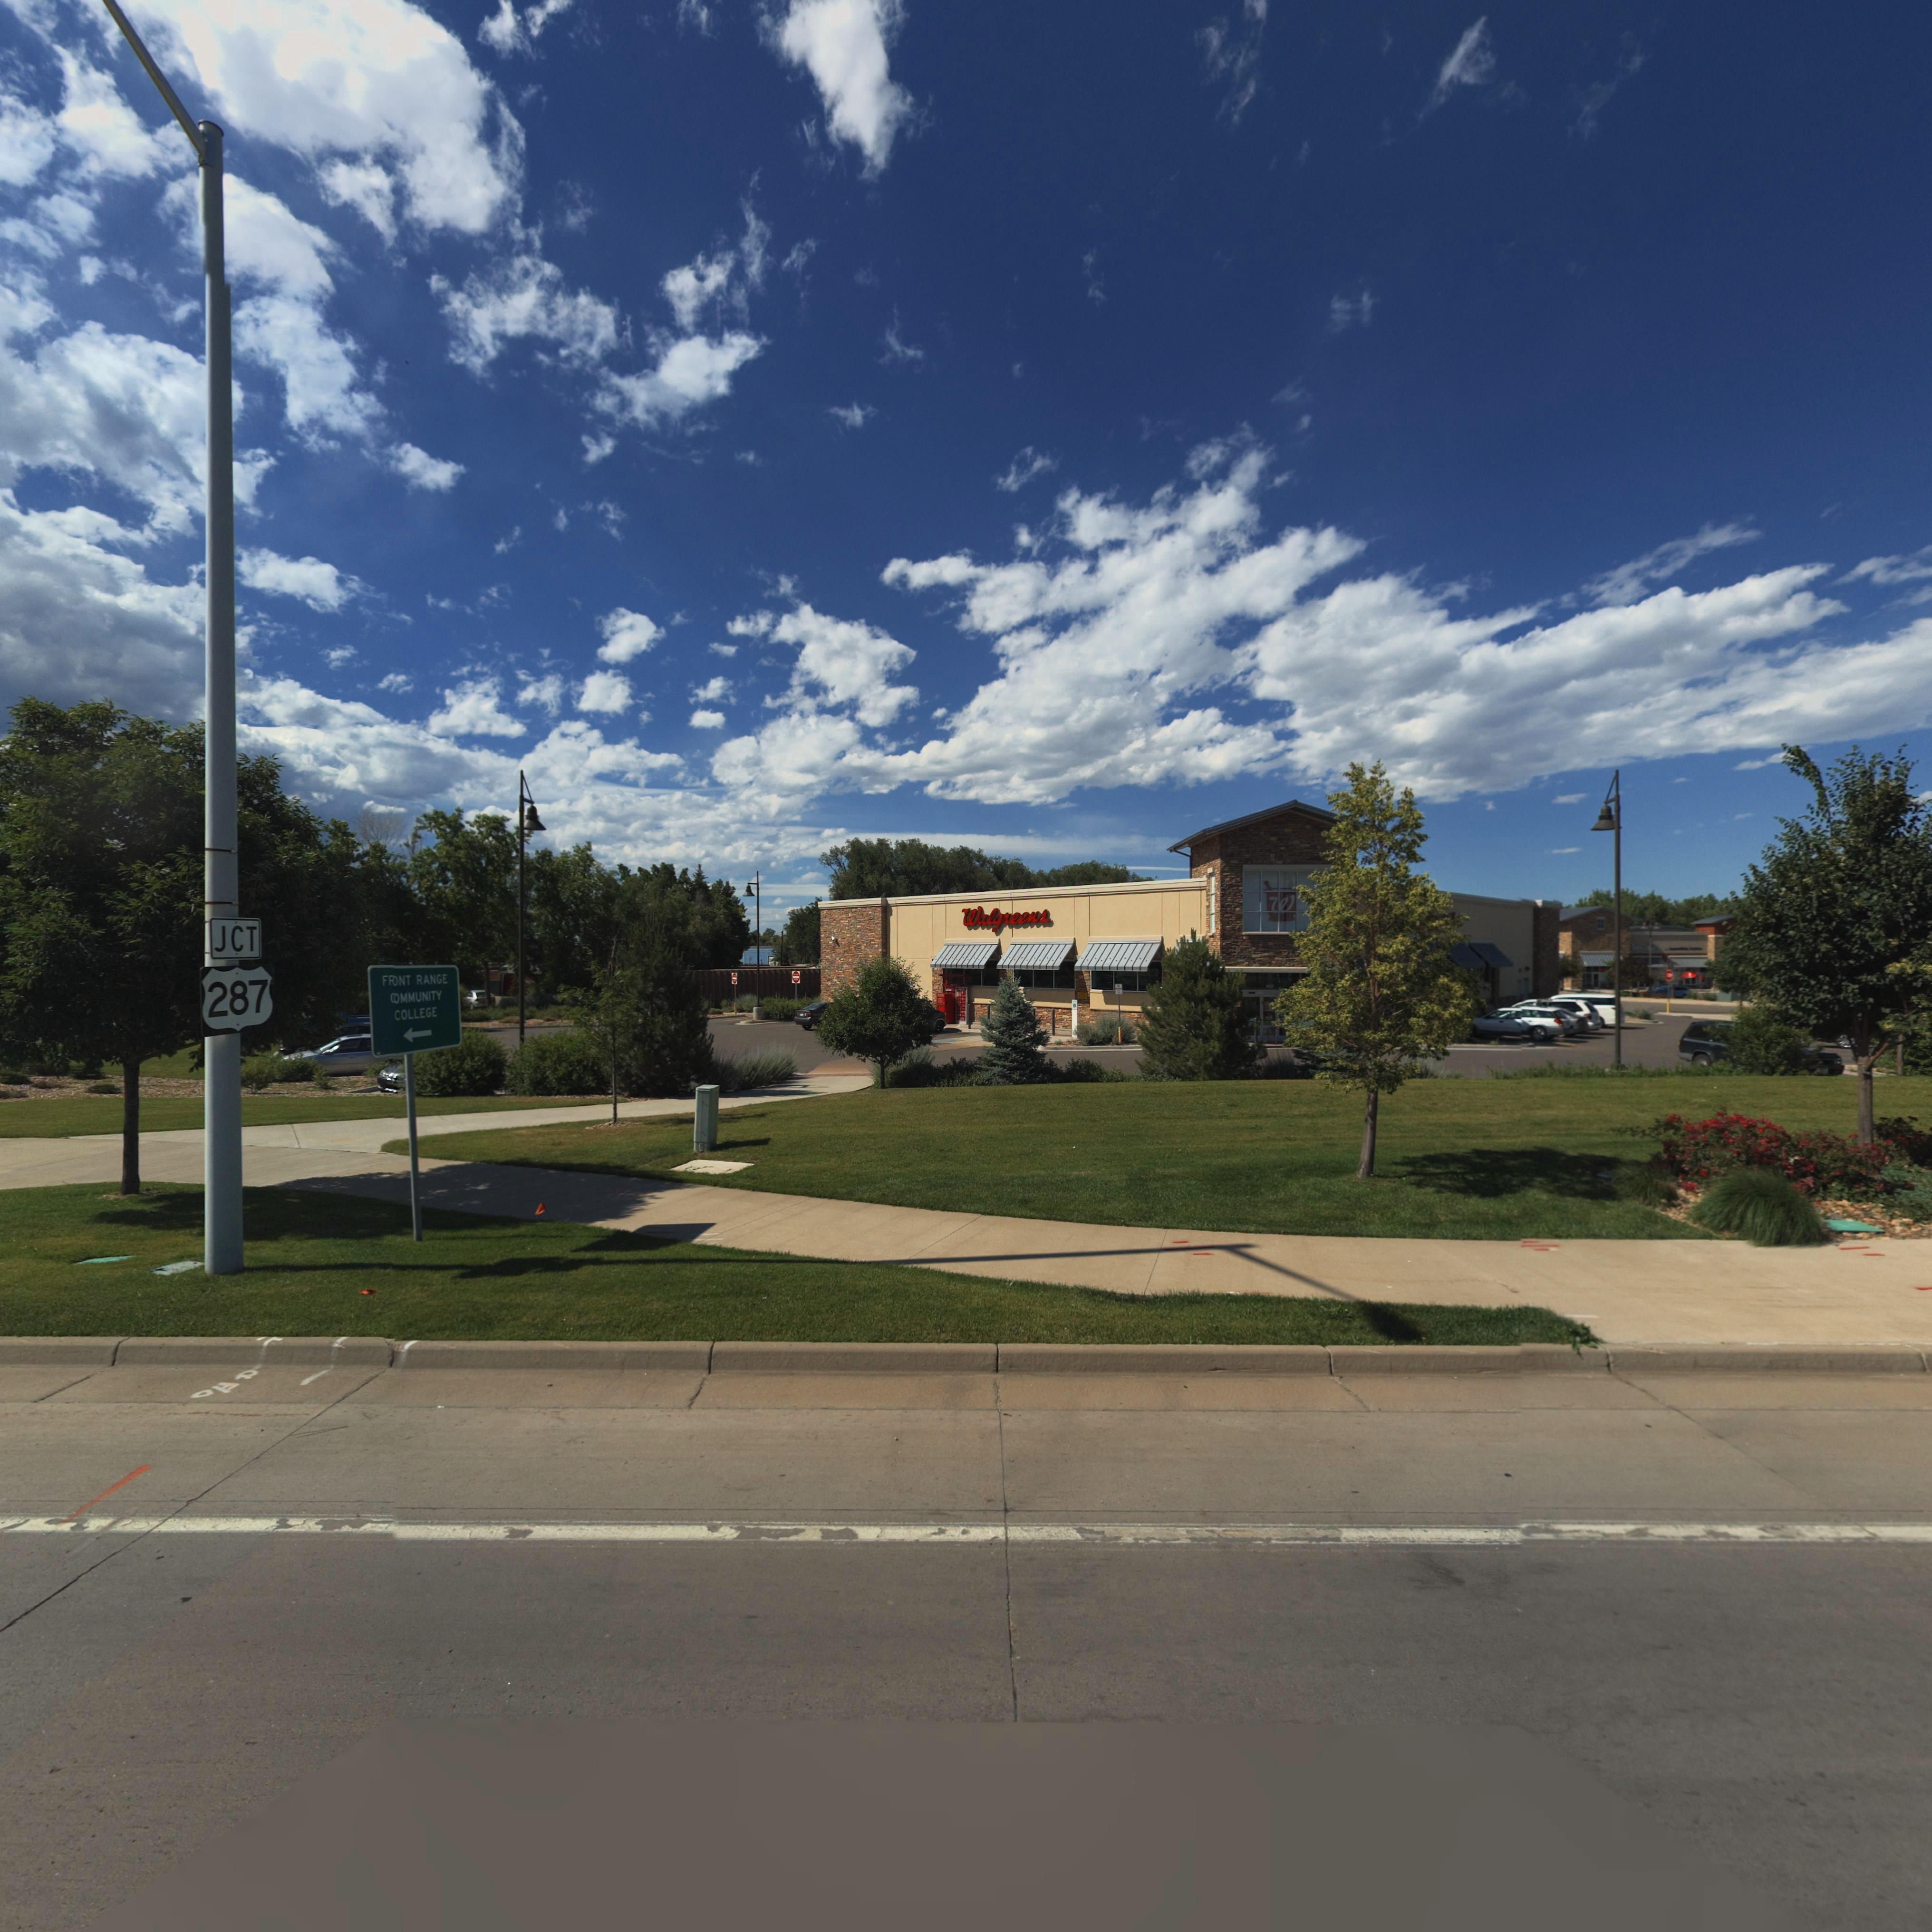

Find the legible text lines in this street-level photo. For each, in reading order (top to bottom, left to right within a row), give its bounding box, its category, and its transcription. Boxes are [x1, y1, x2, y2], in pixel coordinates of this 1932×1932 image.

[961, 905, 1050, 932] BusinessName: Walgreens